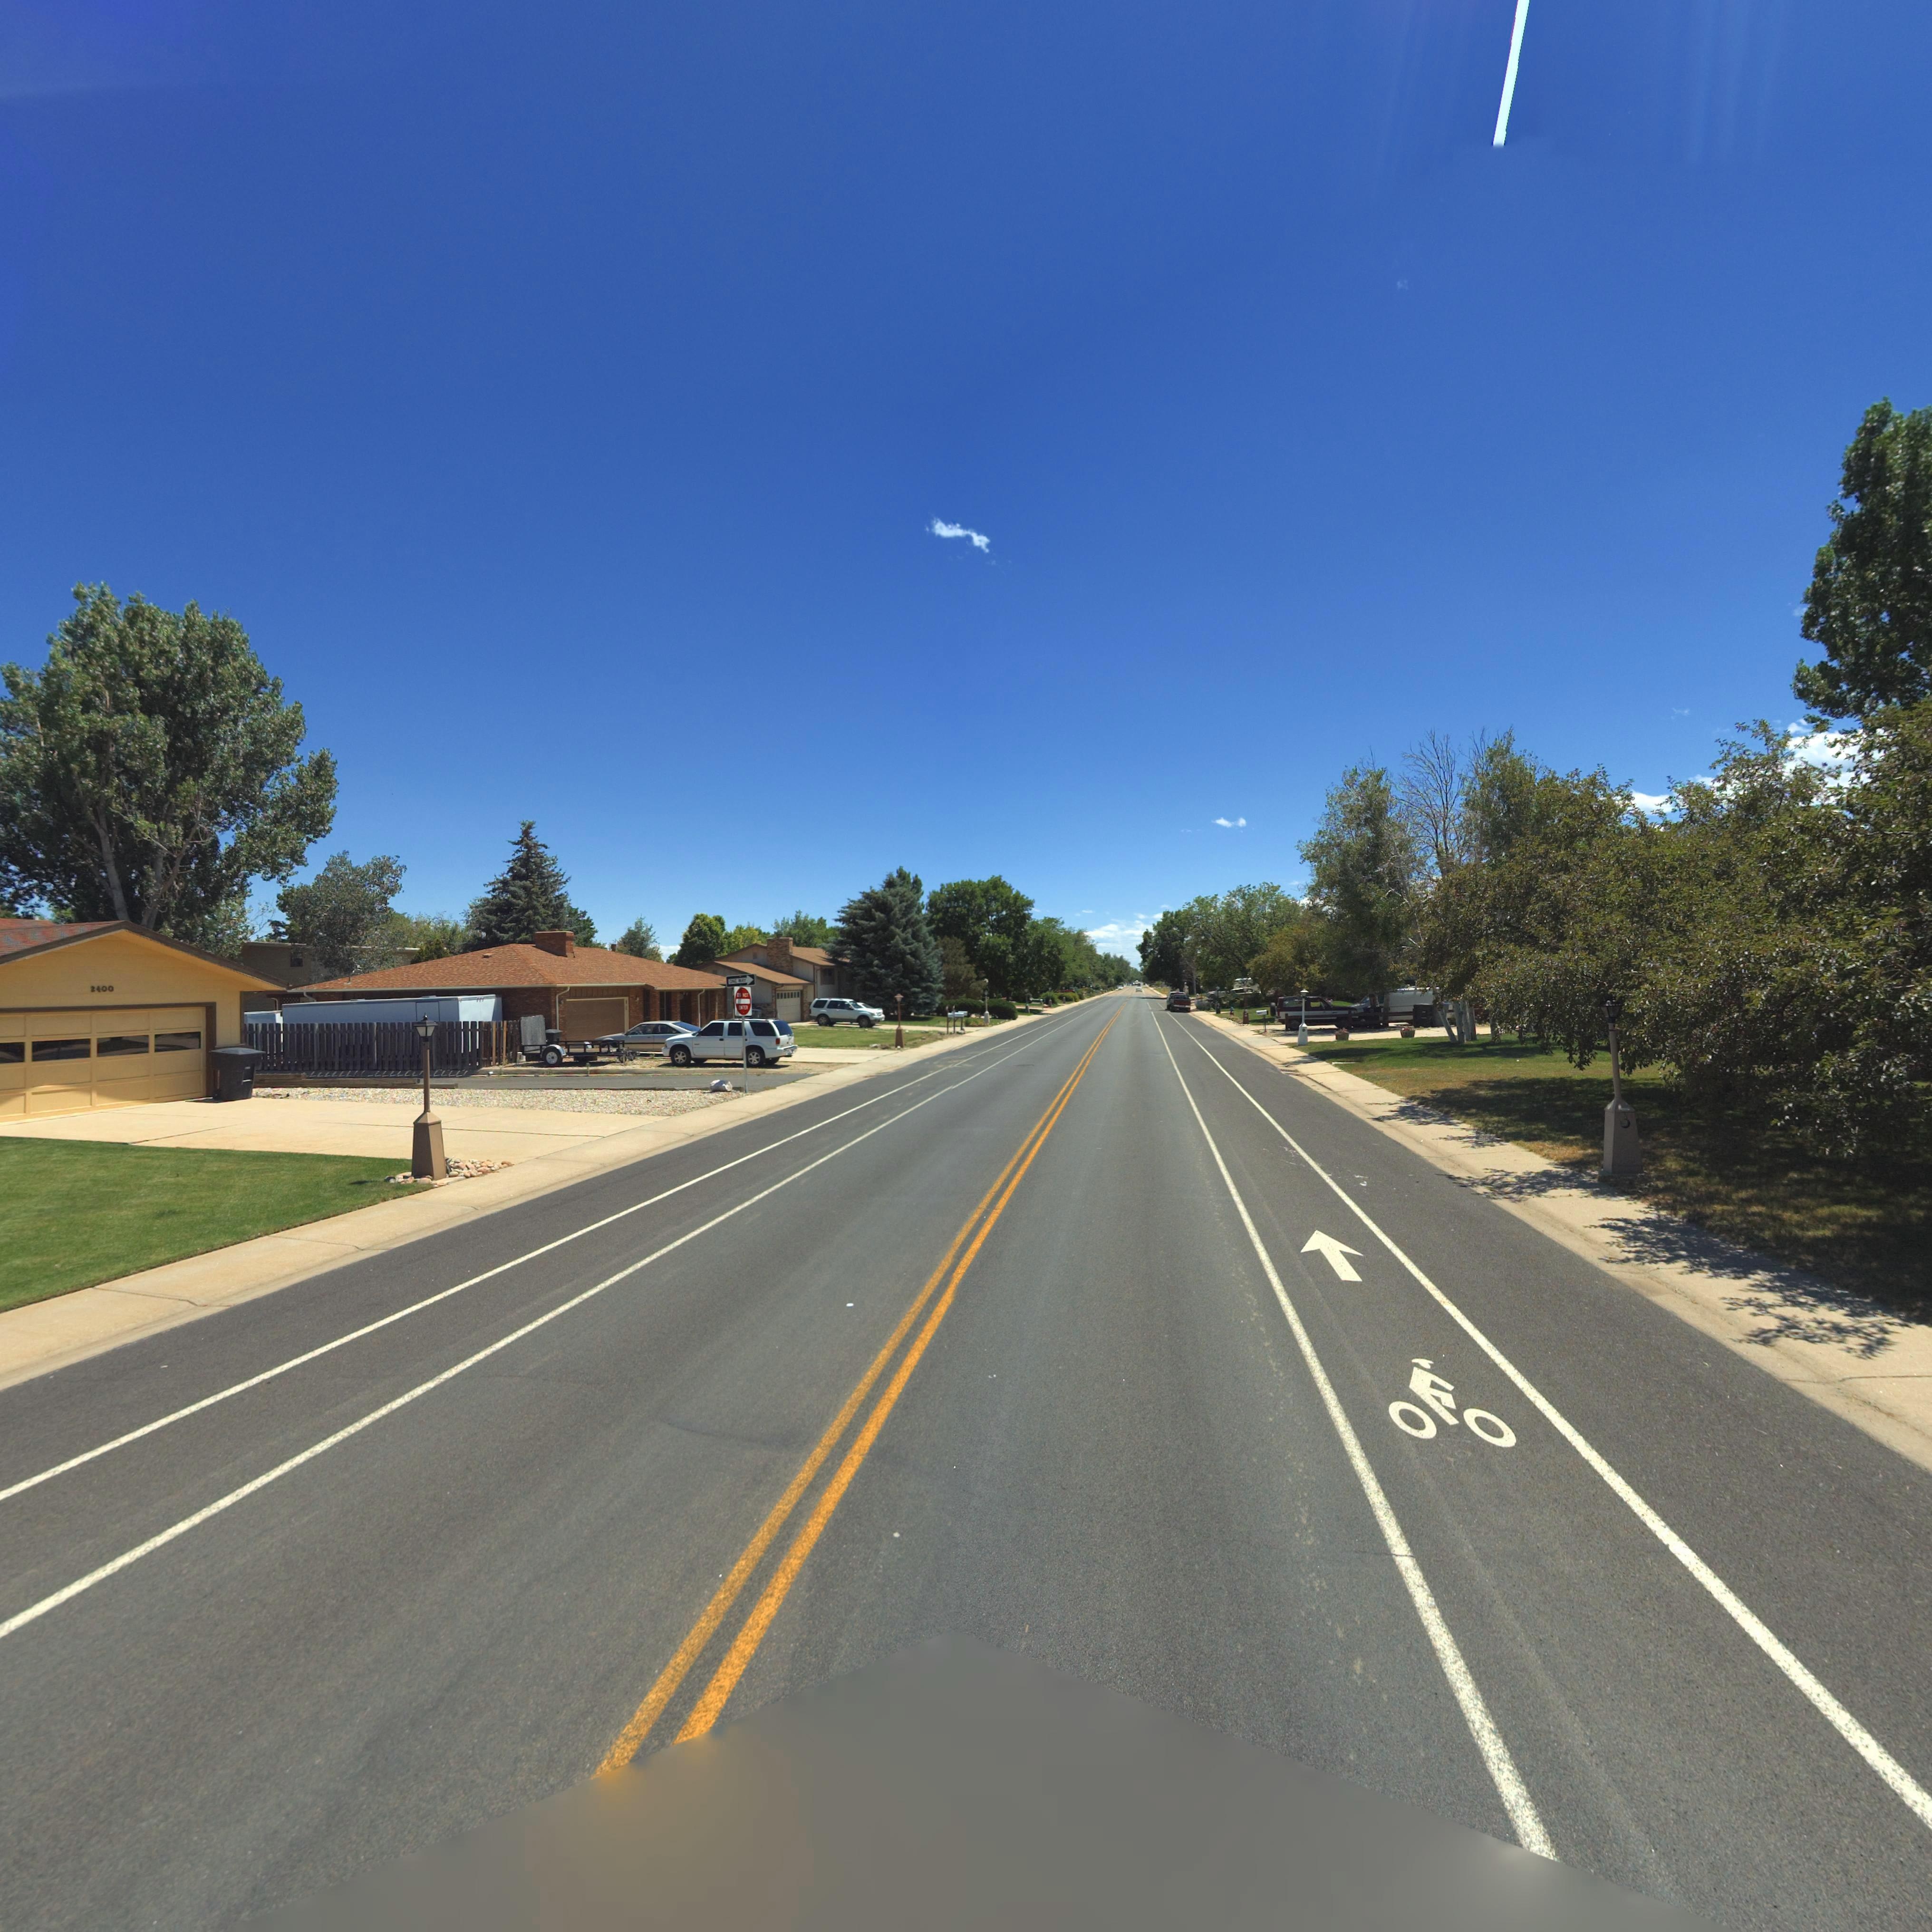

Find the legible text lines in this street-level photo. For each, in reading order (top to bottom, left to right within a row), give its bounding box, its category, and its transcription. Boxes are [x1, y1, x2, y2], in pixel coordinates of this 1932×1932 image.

[90, 985, 114, 992] StreetNumber: 2400